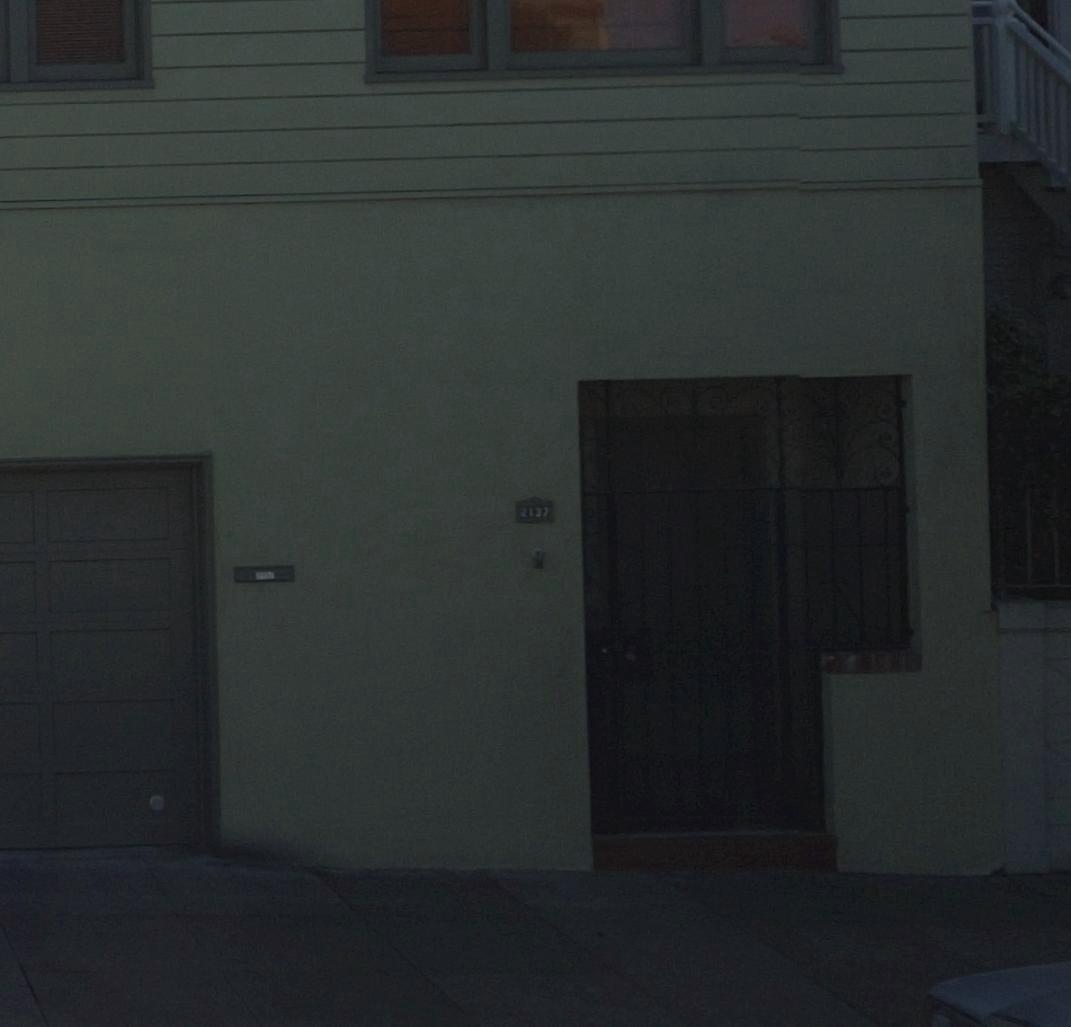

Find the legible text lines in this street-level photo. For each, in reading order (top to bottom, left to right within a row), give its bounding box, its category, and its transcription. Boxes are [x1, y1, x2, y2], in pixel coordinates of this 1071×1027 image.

[517, 505, 550, 519] StreetNumber: 2137